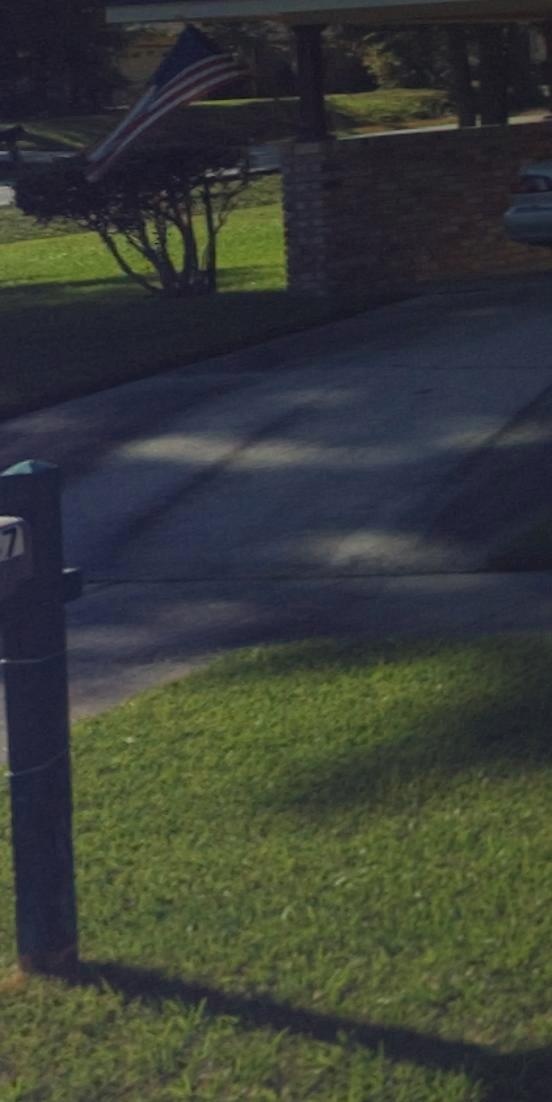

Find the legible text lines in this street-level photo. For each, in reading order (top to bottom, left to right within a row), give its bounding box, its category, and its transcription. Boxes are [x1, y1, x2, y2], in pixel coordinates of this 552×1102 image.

[0, 522, 20, 564] StreetNumber: 9087